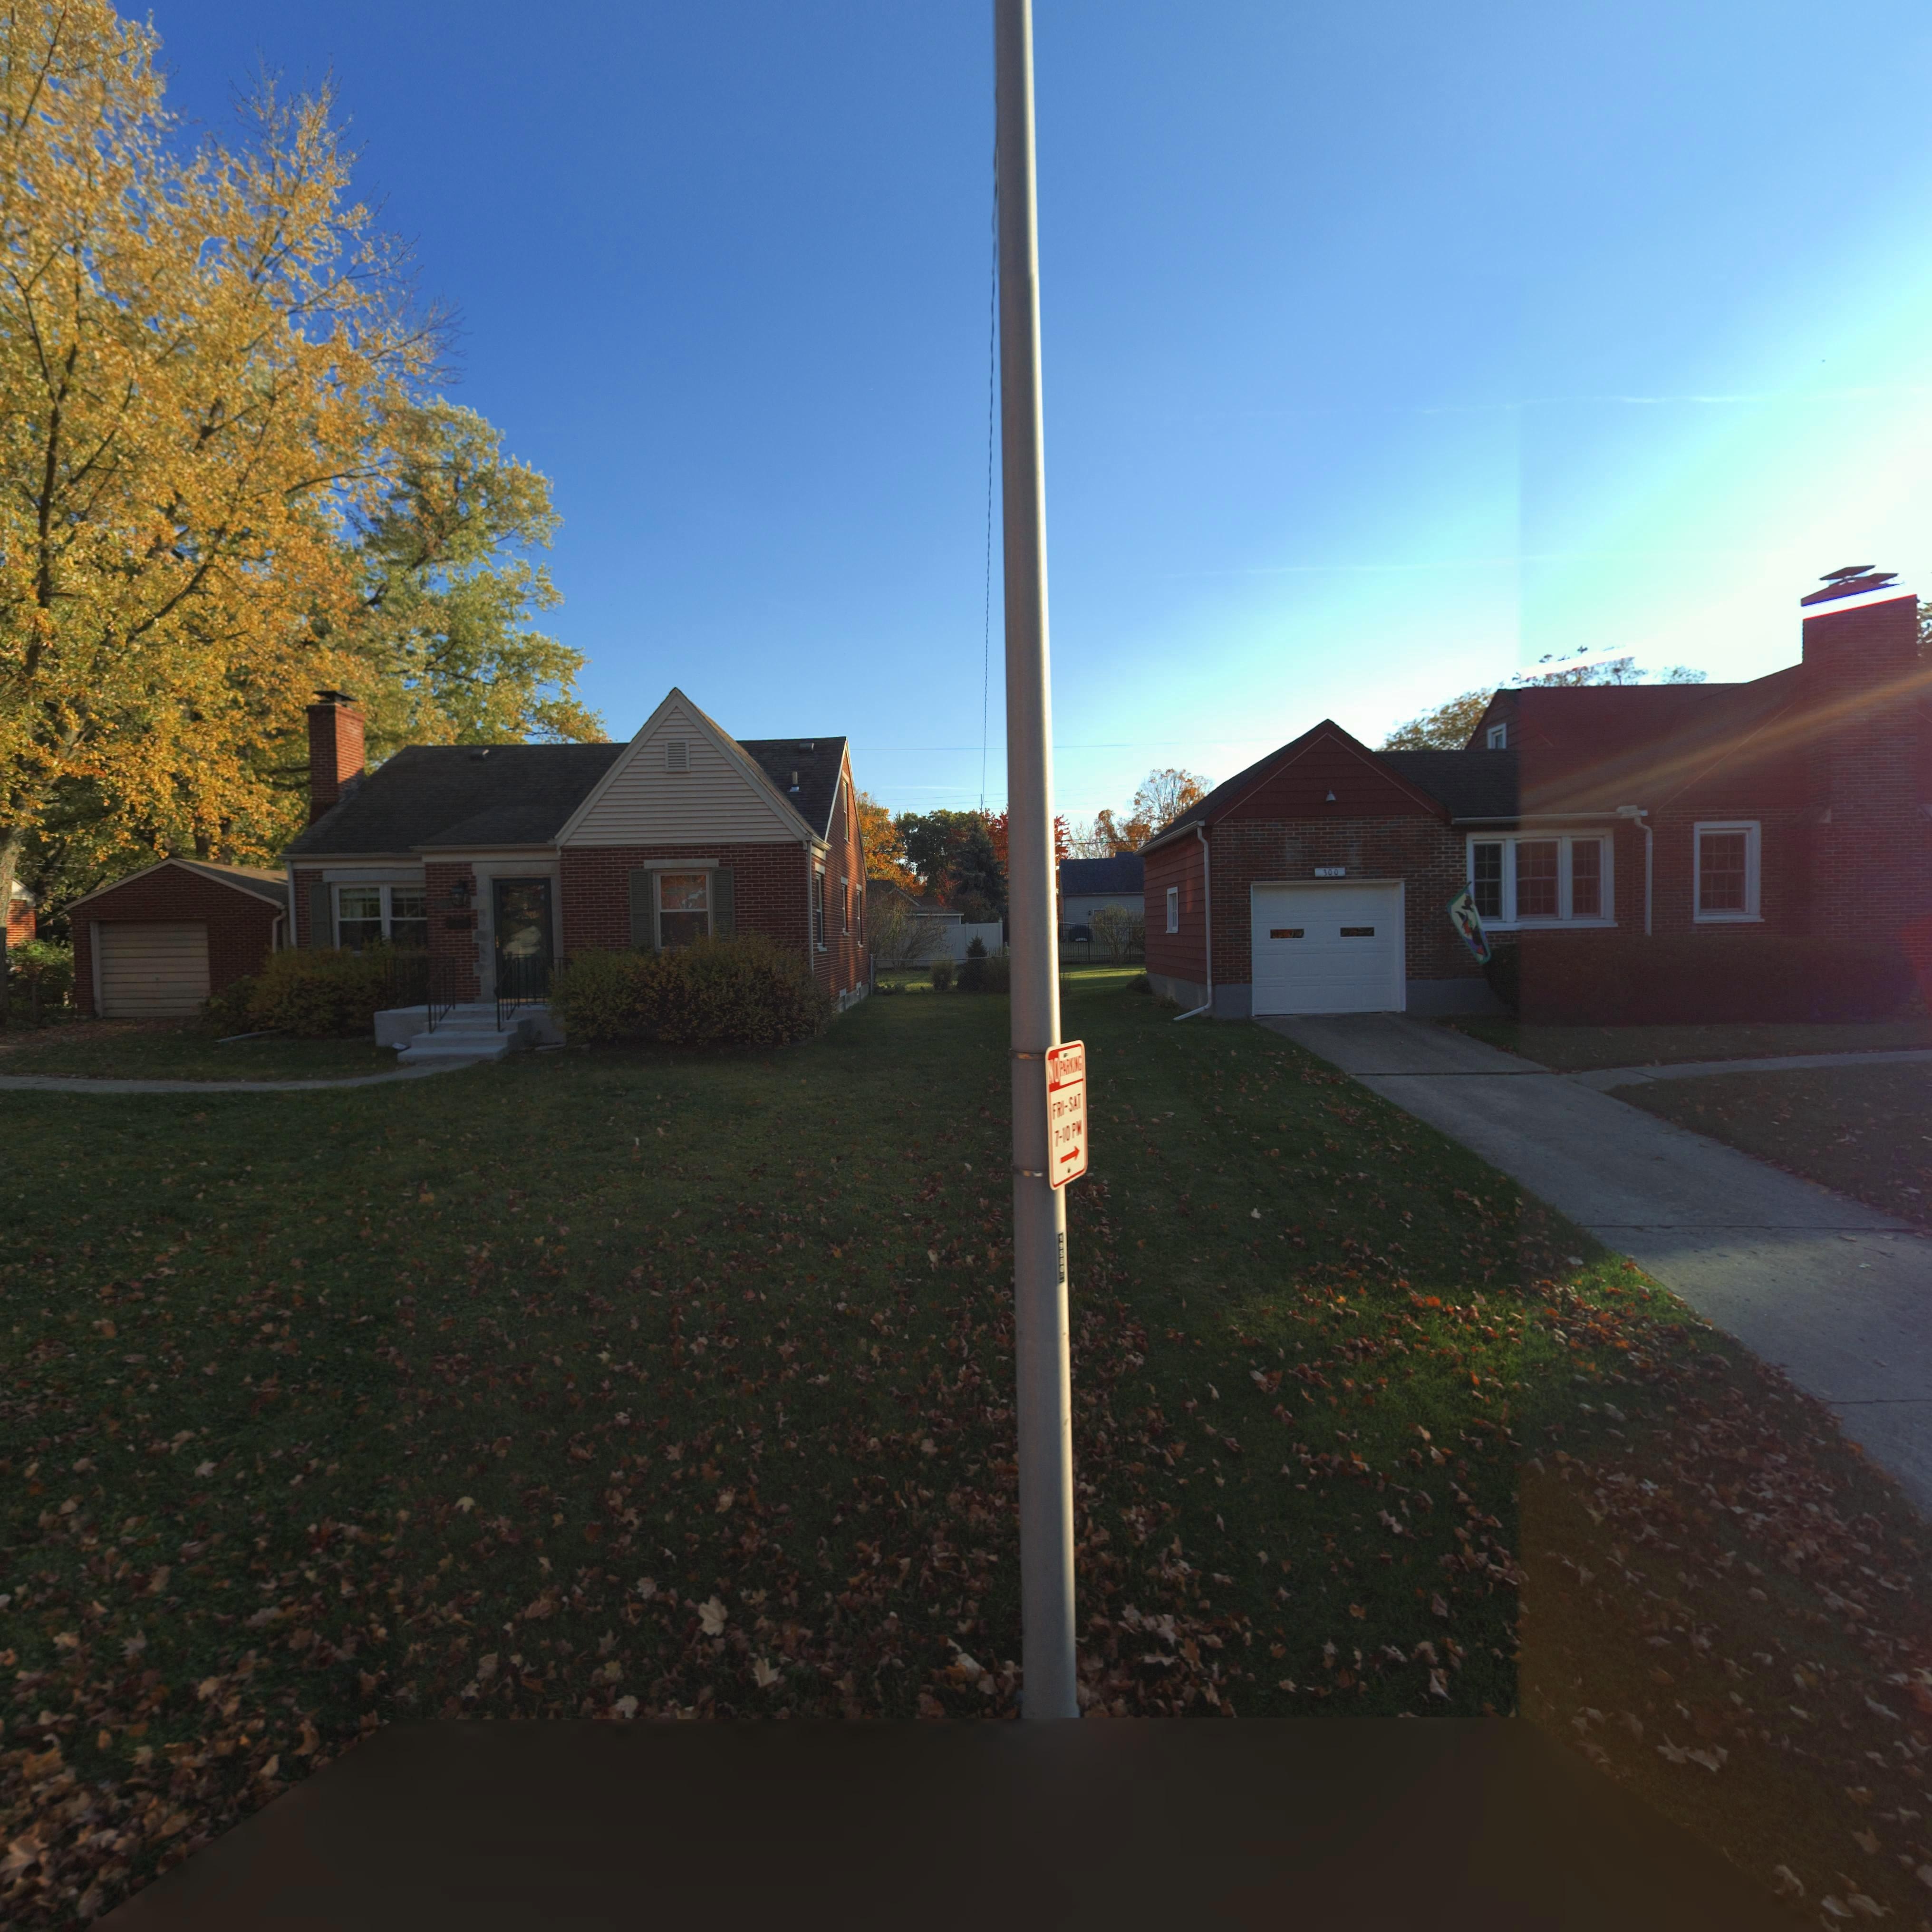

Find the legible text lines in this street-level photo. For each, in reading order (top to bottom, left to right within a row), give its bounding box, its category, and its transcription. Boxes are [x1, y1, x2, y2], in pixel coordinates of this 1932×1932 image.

[1322, 868, 1339, 876] StreetNumber: 300